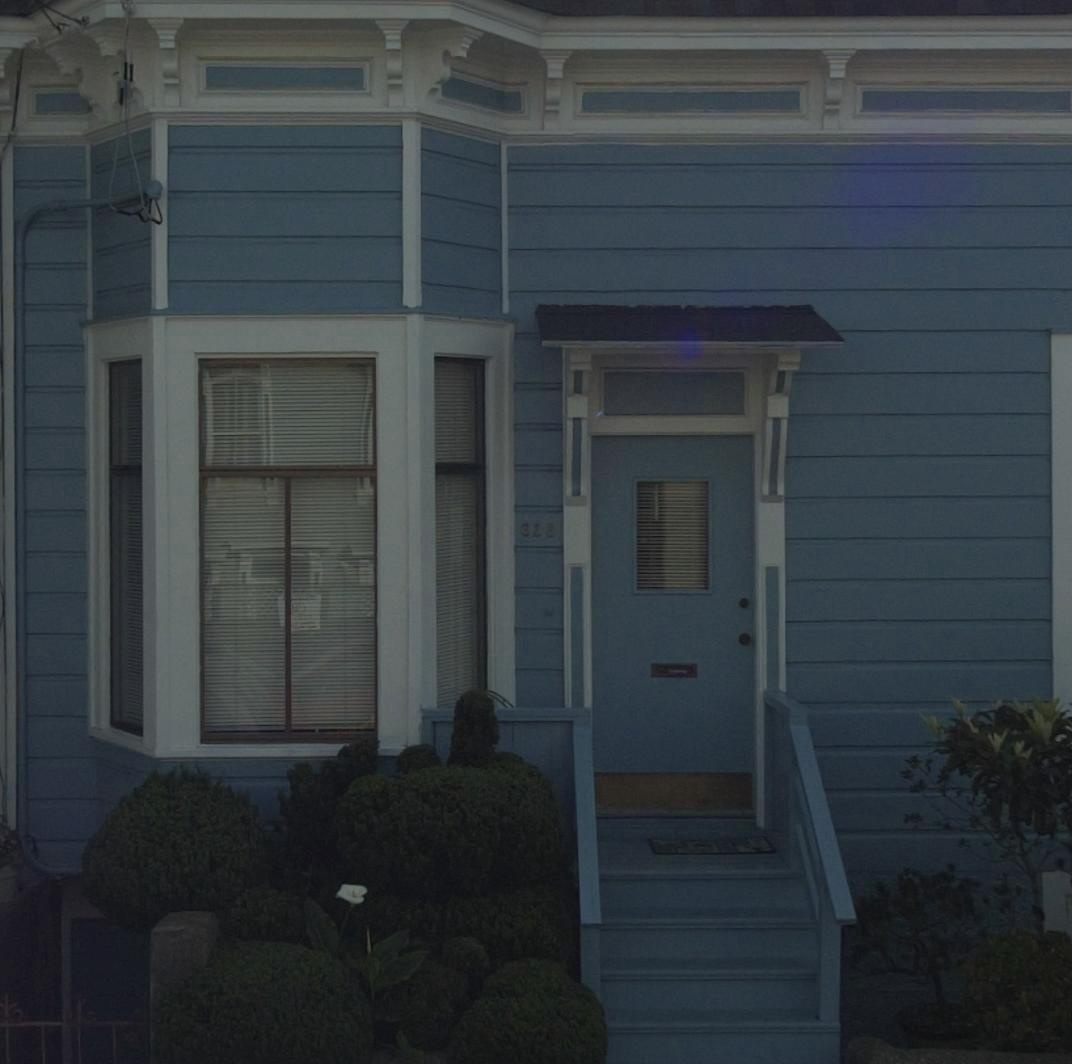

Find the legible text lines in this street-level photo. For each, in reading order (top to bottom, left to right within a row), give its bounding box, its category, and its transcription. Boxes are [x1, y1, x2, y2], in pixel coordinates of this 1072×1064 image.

[519, 520, 556, 539] StreetNumber: *28